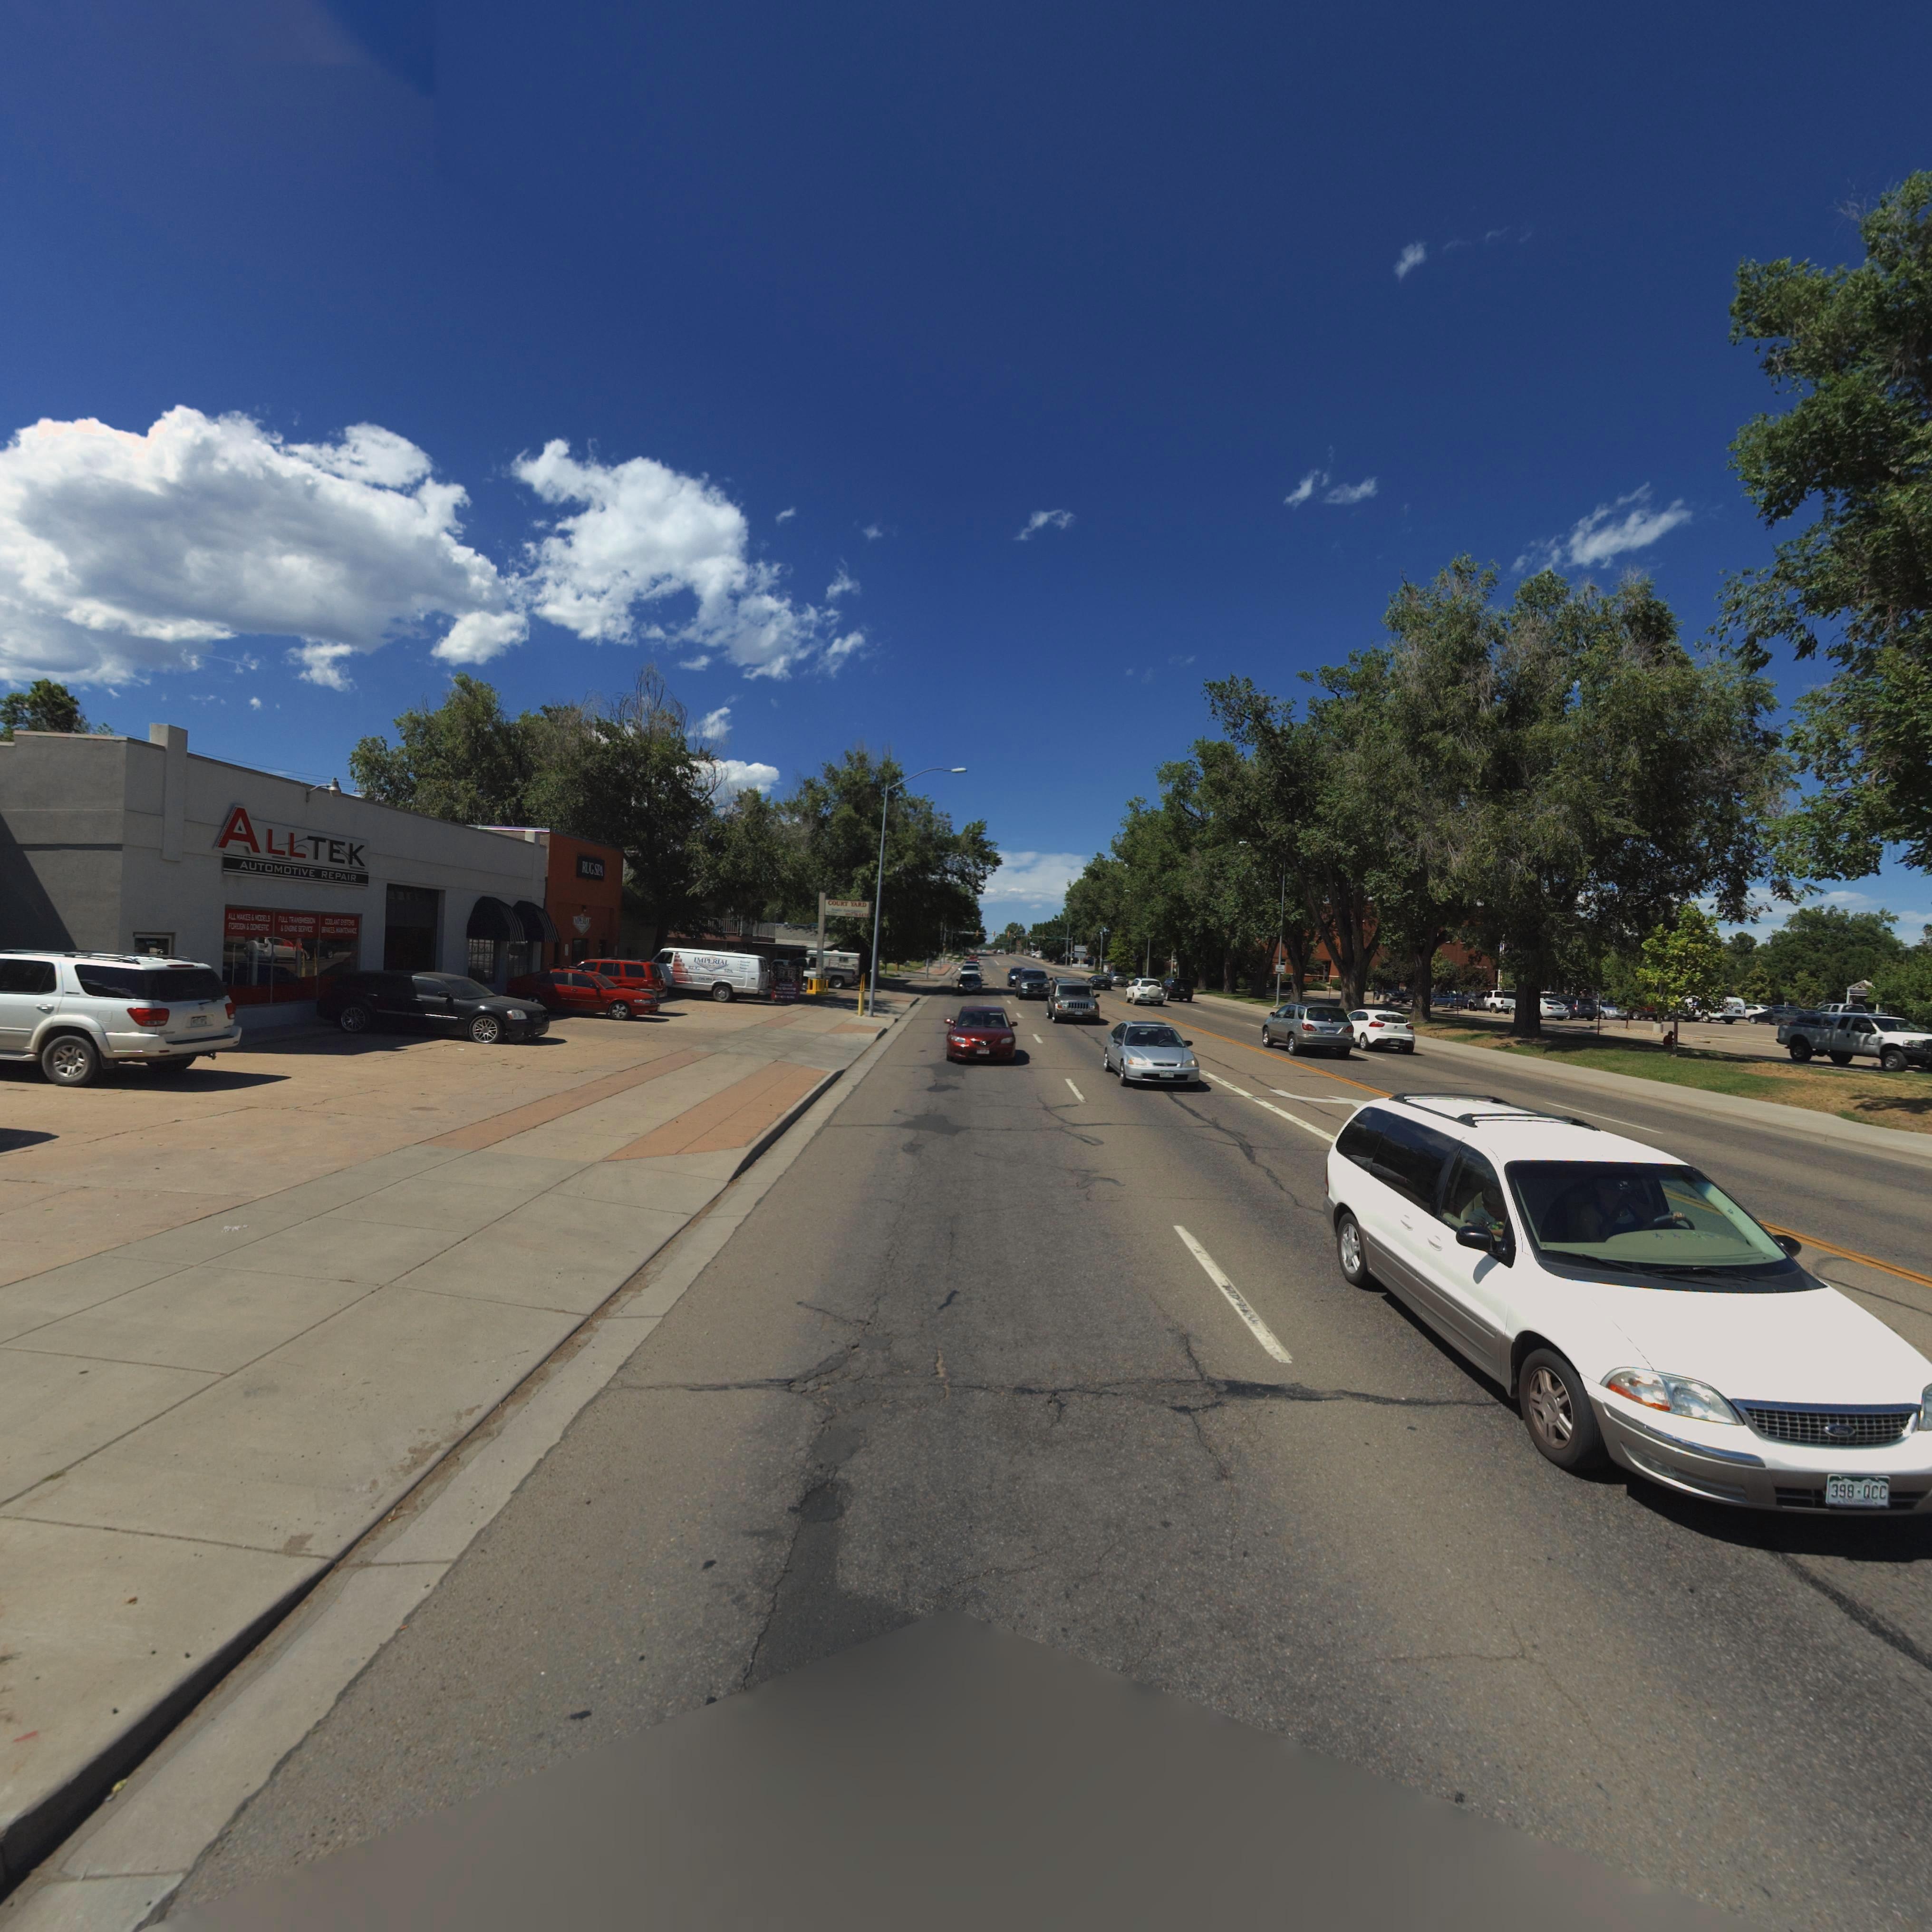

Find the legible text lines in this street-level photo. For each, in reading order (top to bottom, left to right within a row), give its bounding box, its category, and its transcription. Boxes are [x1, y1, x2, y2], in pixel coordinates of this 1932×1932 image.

[213, 805, 366, 868] BusinessName: ALLTEK
[582, 861, 603, 876] BusinessName: RUG SPA
[828, 900, 867, 907] BusinessName: COURT YARD
[573, 917, 589, 924] BusinessName: *MP**IA*
[146, 941, 157, 945] StreetNumber: 100*